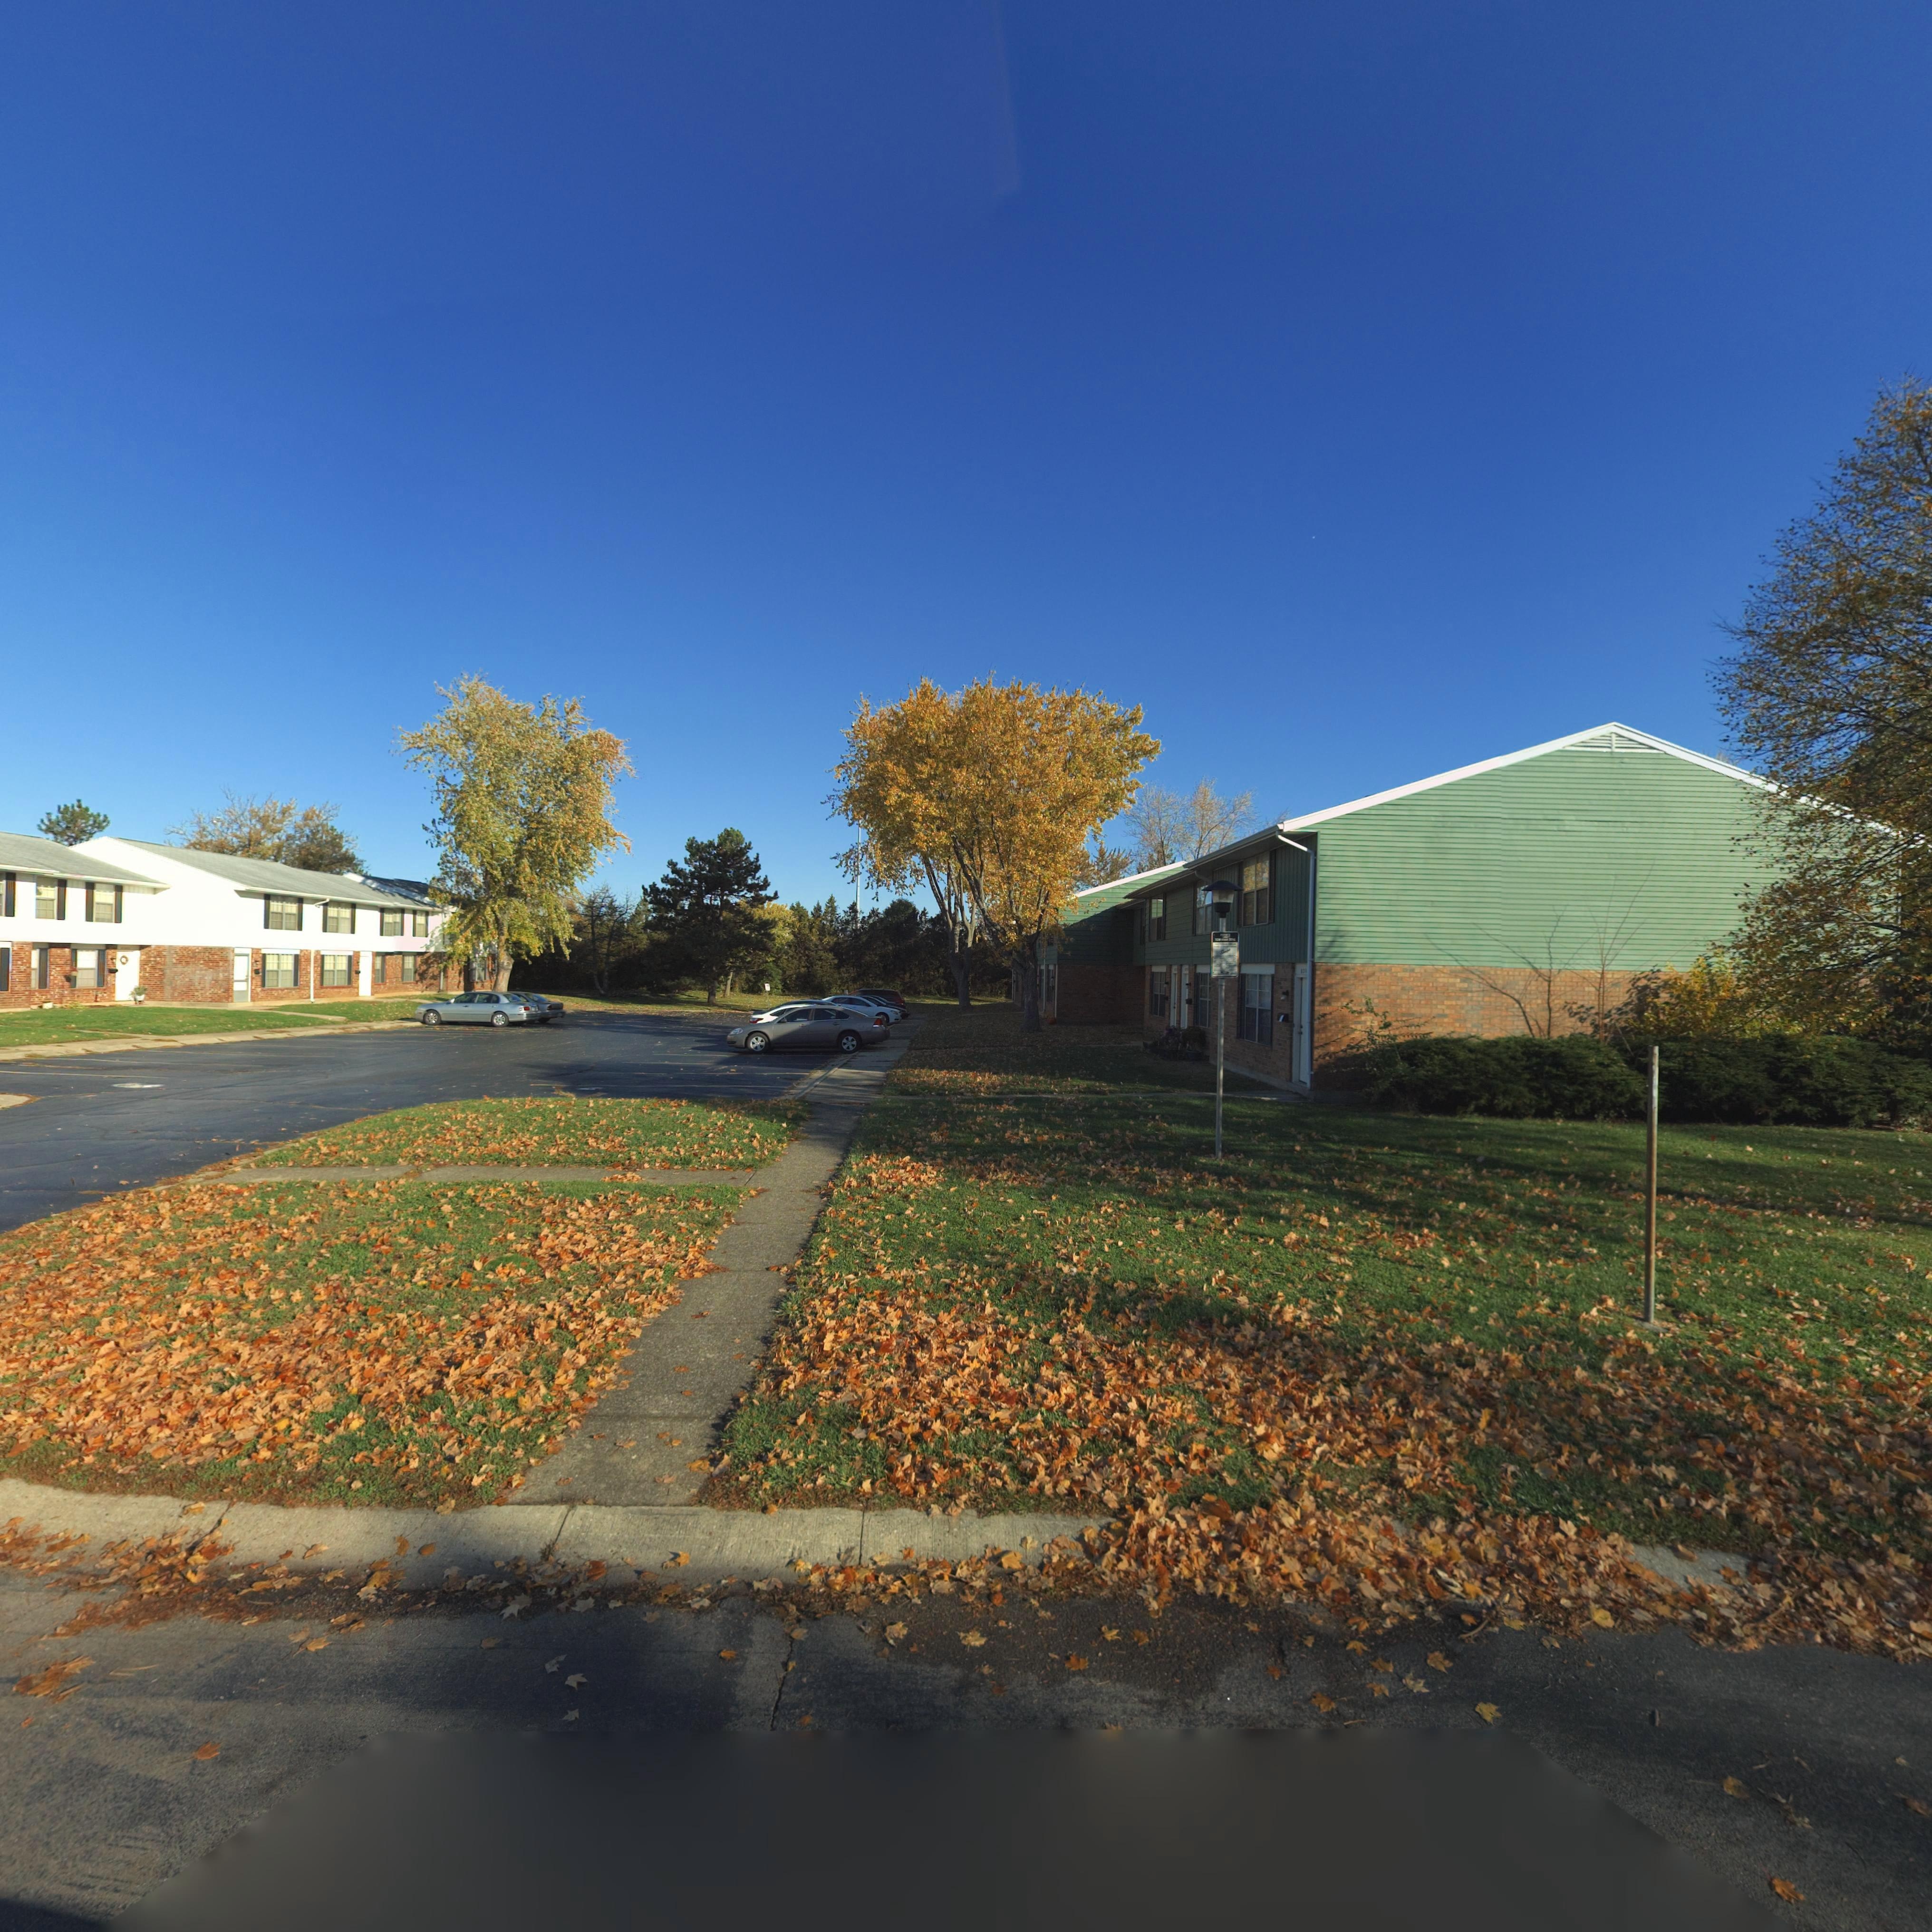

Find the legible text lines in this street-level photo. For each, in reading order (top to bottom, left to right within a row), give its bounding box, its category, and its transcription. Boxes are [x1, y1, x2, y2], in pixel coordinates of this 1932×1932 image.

[1300, 968, 1305, 974] StreetNumber: 83